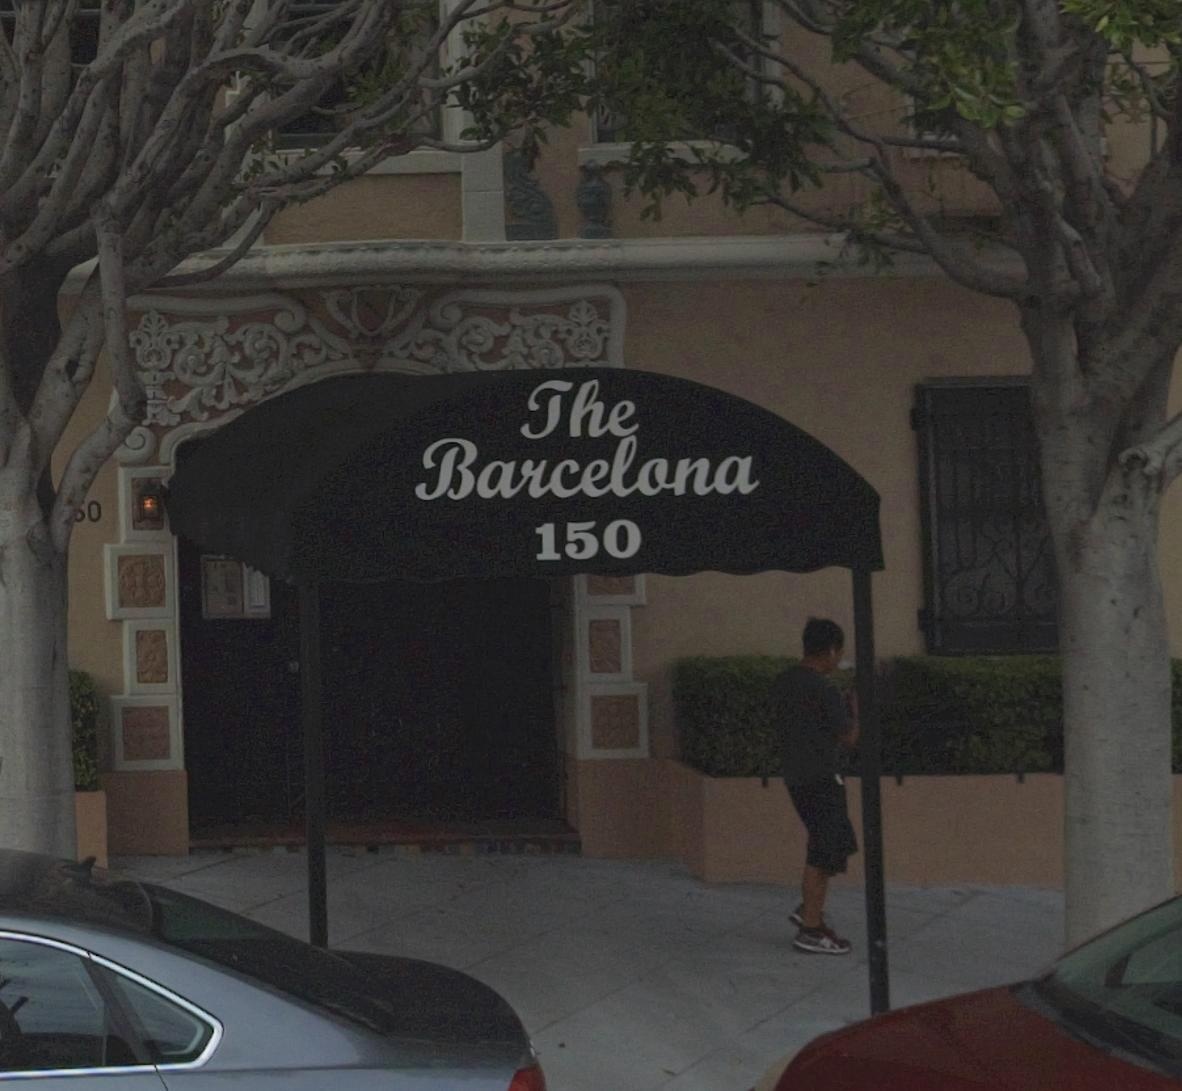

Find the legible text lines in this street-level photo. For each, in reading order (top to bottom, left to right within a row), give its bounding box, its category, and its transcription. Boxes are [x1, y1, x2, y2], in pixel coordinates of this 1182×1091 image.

[517, 376, 642, 442] BusinessName: The
[411, 433, 764, 503] BusinessName: Barcelona
[73, 498, 105, 525] StreetNumber: *0
[533, 516, 646, 563] StreetNumber: 150